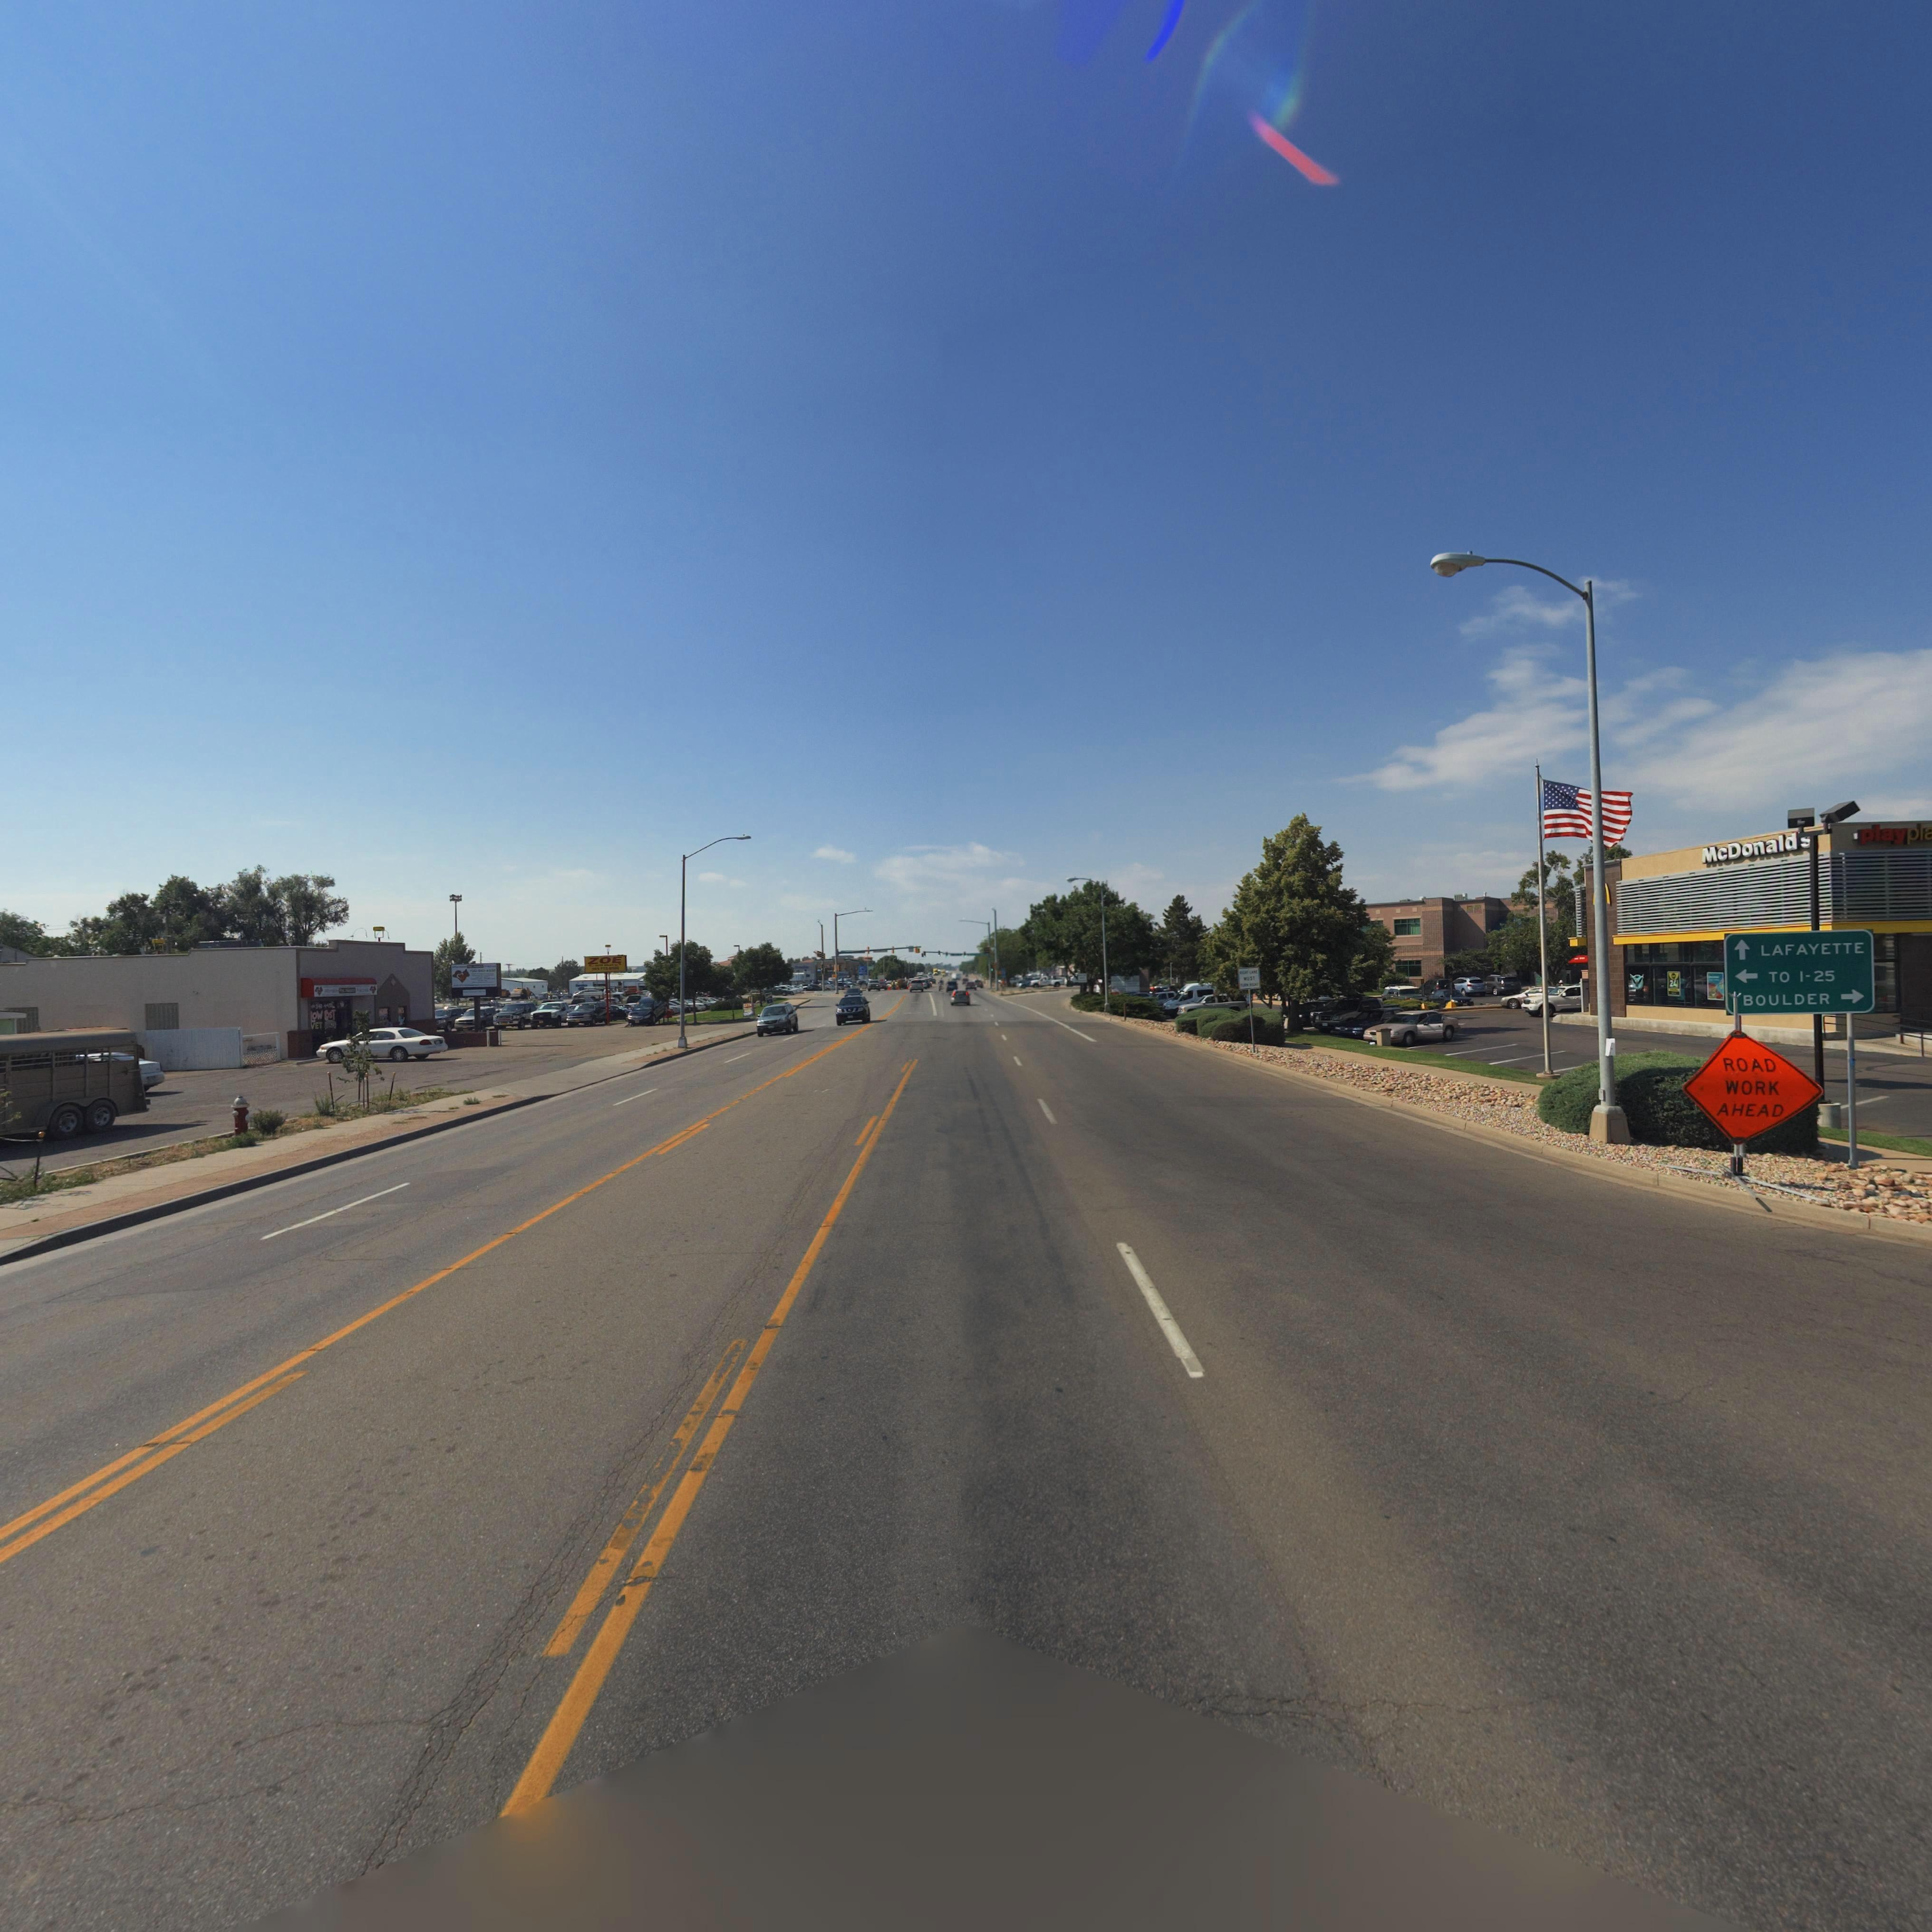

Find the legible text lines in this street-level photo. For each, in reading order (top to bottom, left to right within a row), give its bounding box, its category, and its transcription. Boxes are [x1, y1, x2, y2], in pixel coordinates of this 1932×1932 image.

[1701, 831, 1811, 864] BusinessName: McDonald**
[587, 956, 622, 964] BusinessName: ZOE
[452, 964, 496, 968] BusinessName: Affordable Pet Health Practice
[595, 963, 613, 966] BusinessName: AUTO SALES
[324, 988, 369, 993] BusinessName: Affordable Pet Health Practice